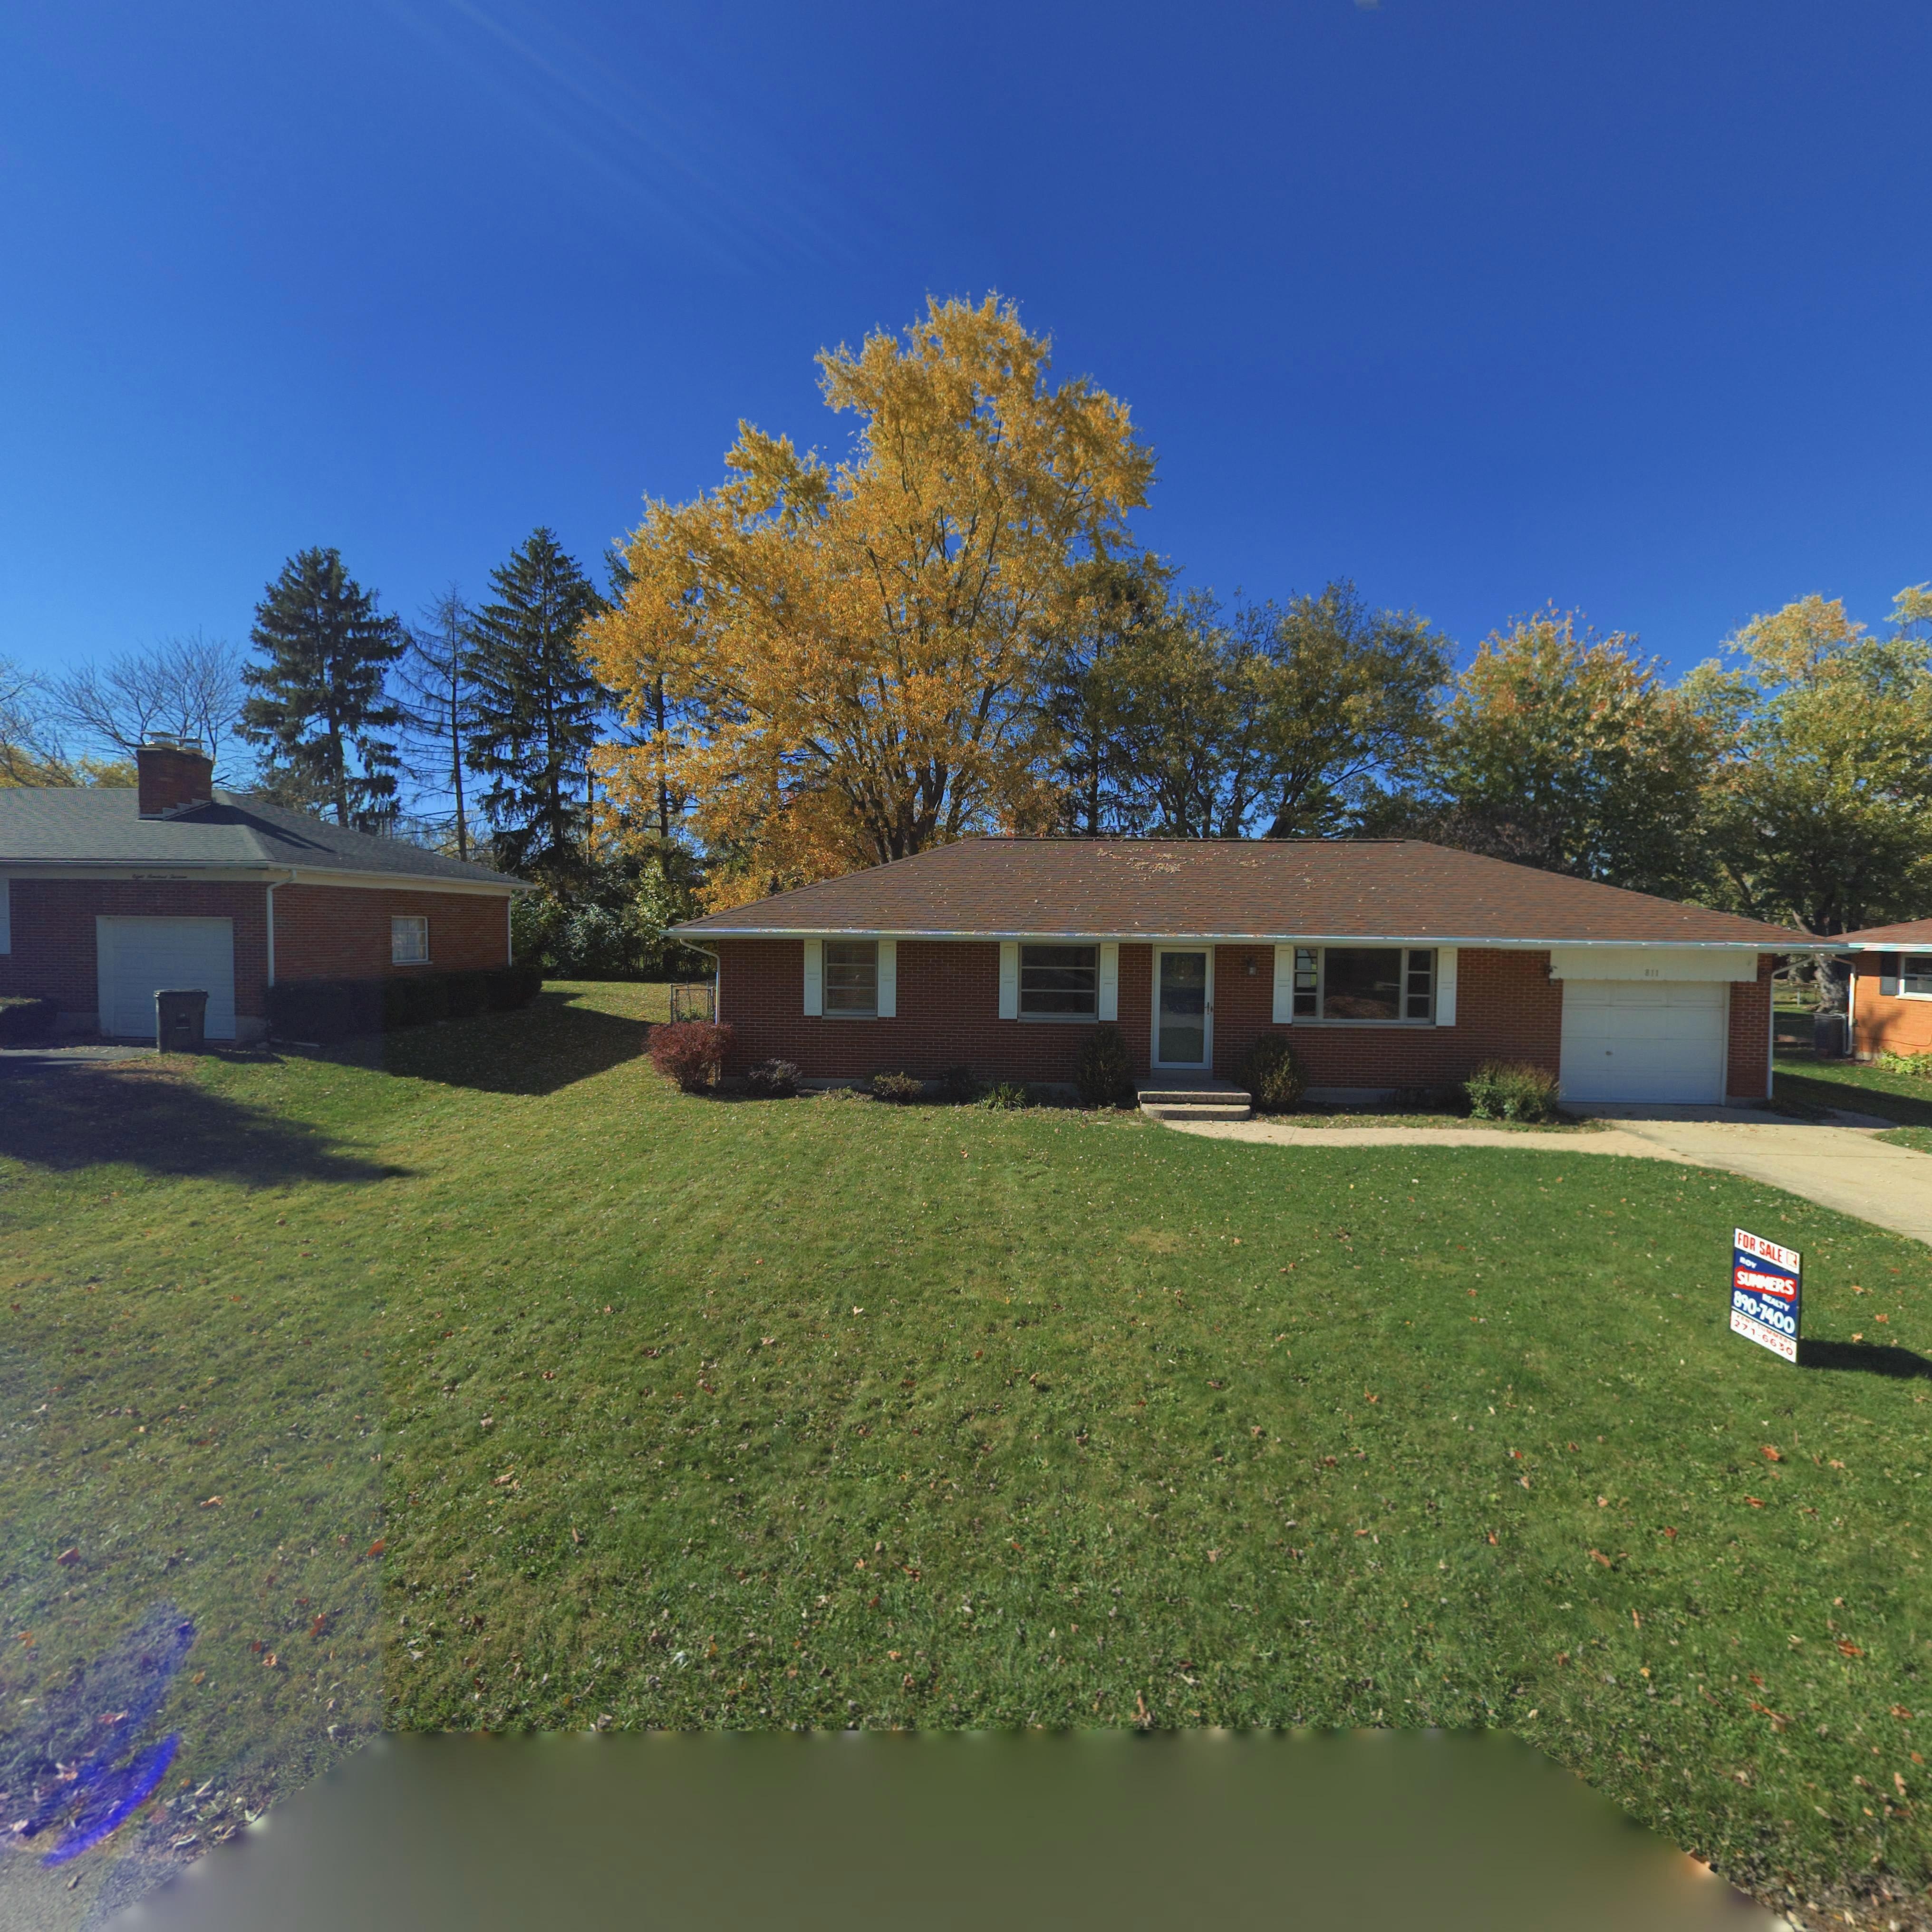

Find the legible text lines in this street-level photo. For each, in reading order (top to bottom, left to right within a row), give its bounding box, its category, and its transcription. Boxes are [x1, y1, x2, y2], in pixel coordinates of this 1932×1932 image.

[1643, 968, 1660, 978] StreetNumber: 811